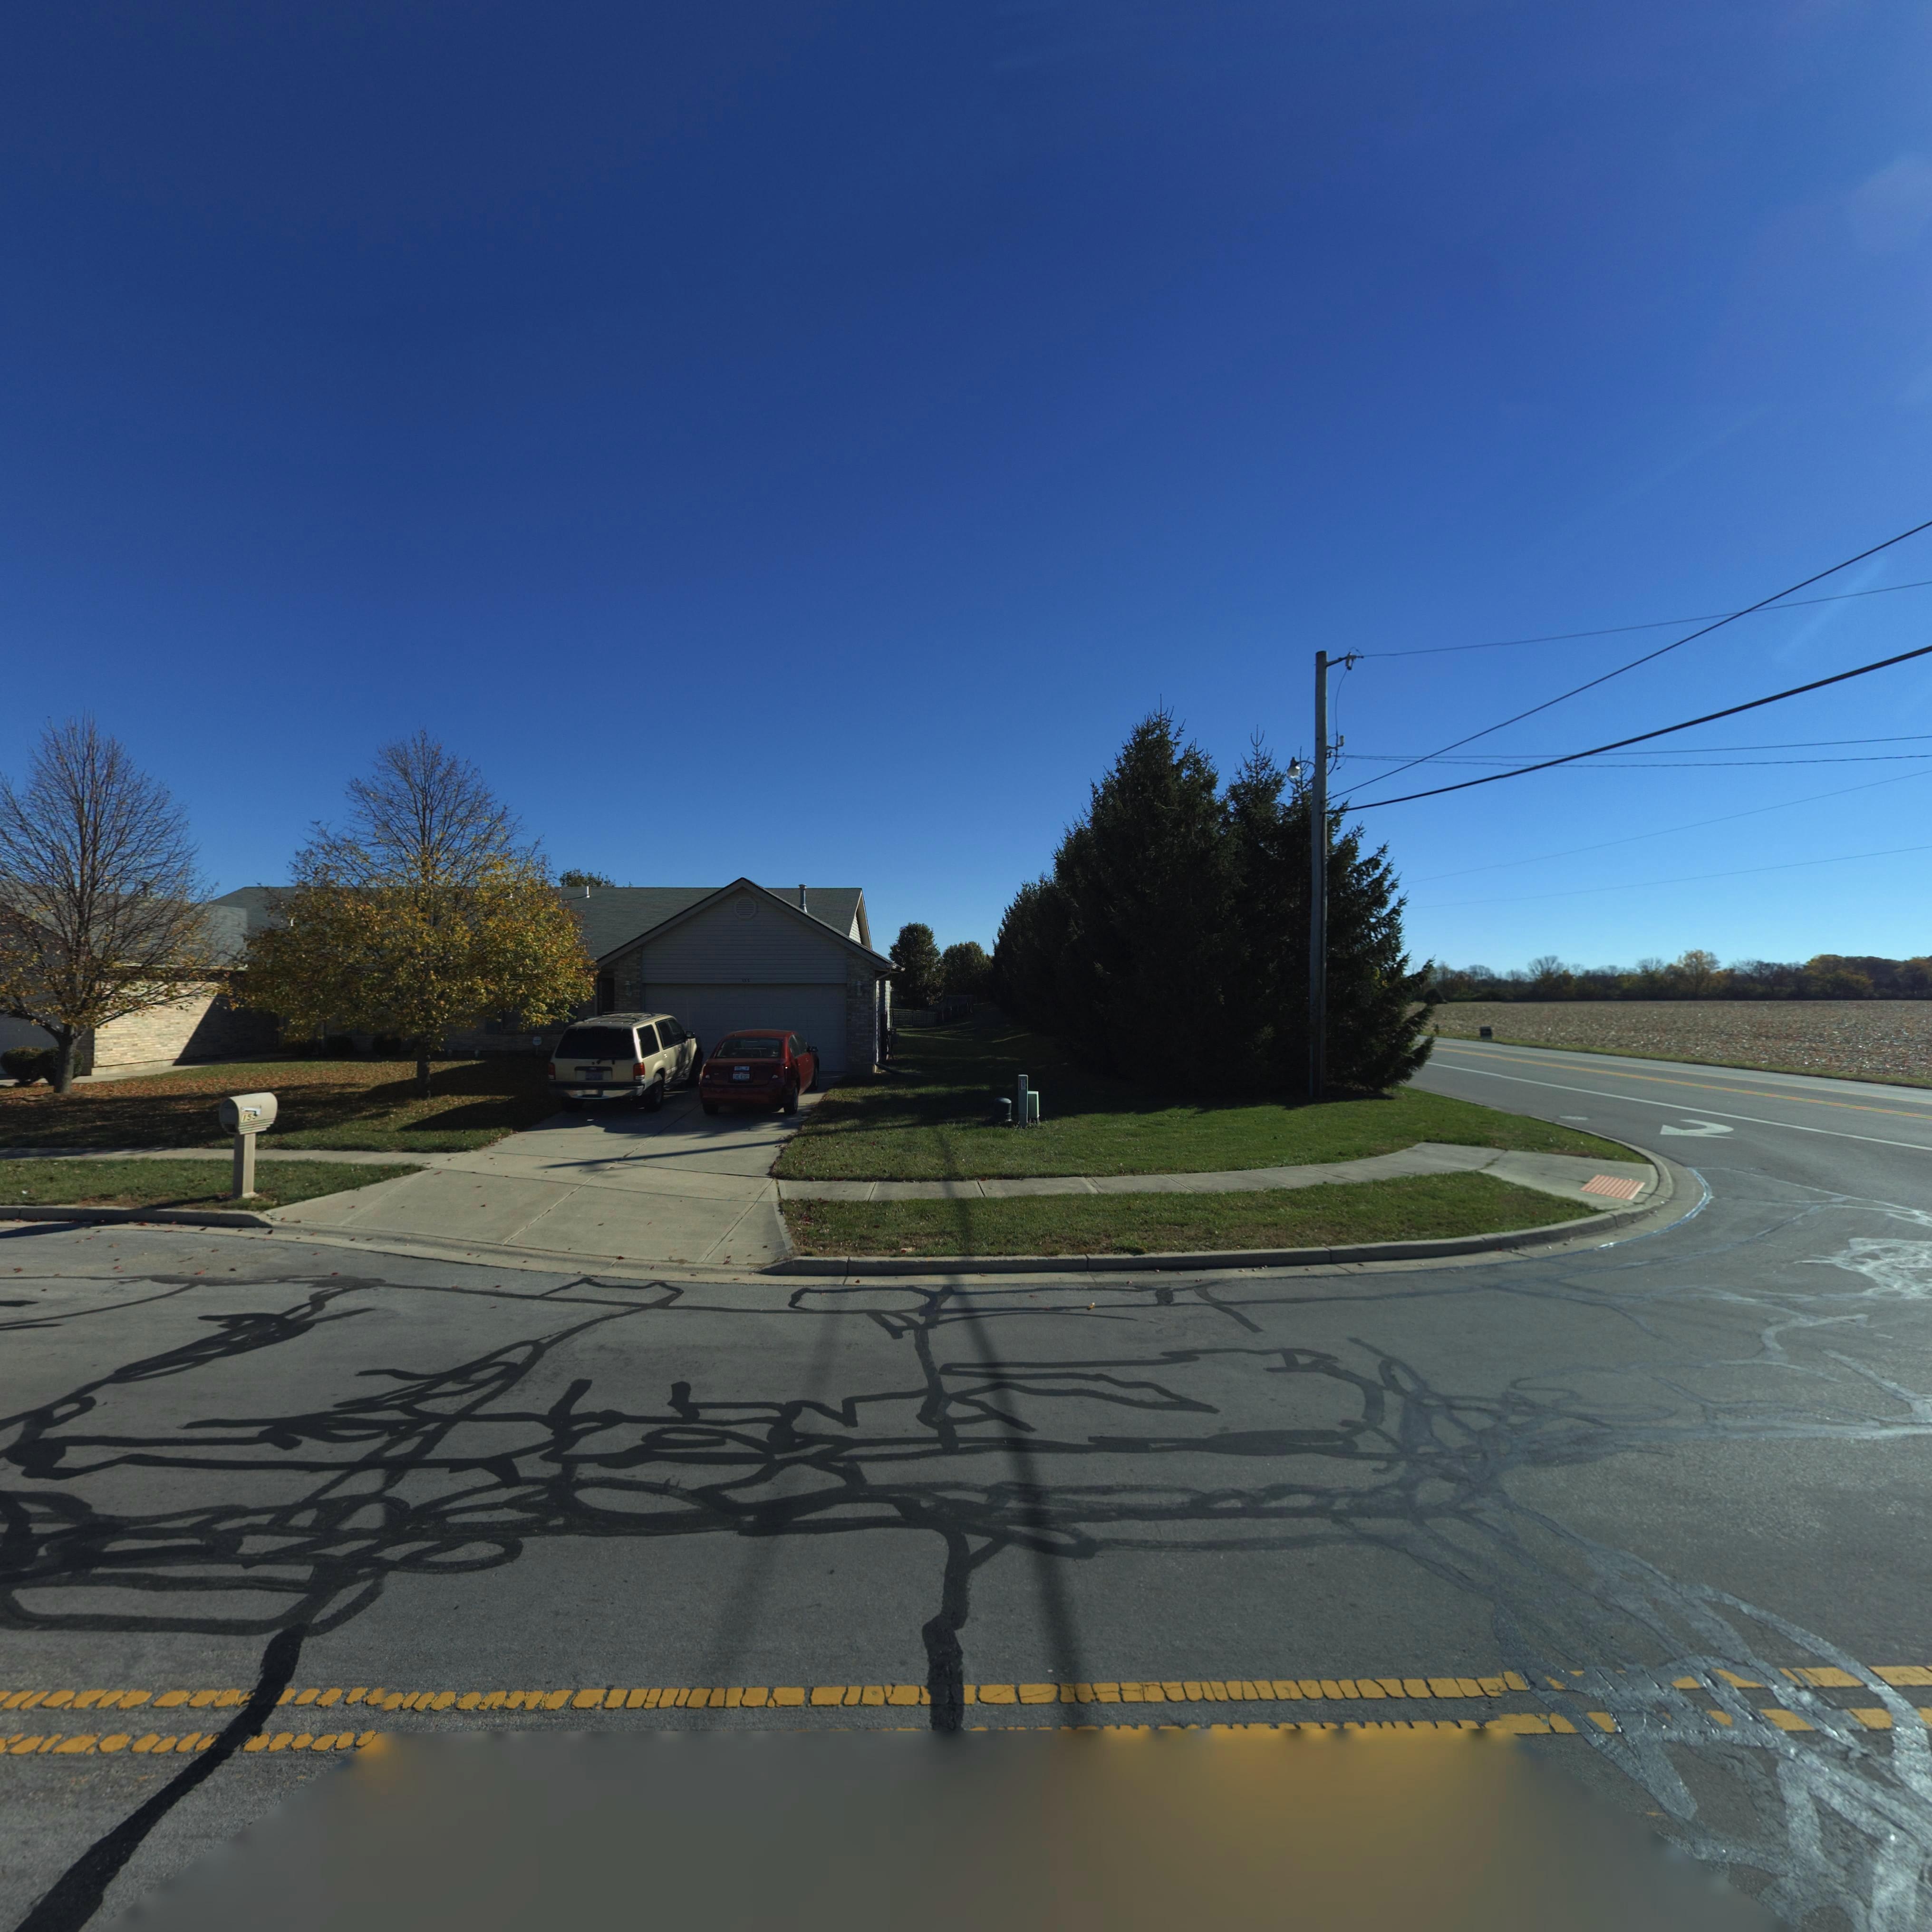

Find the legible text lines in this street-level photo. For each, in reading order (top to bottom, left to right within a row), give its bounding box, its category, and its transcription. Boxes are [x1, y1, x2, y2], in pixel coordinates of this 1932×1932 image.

[742, 978, 750, 983] StreetNumber: 155
[241, 1113, 253, 1122] StreetNumber: 15